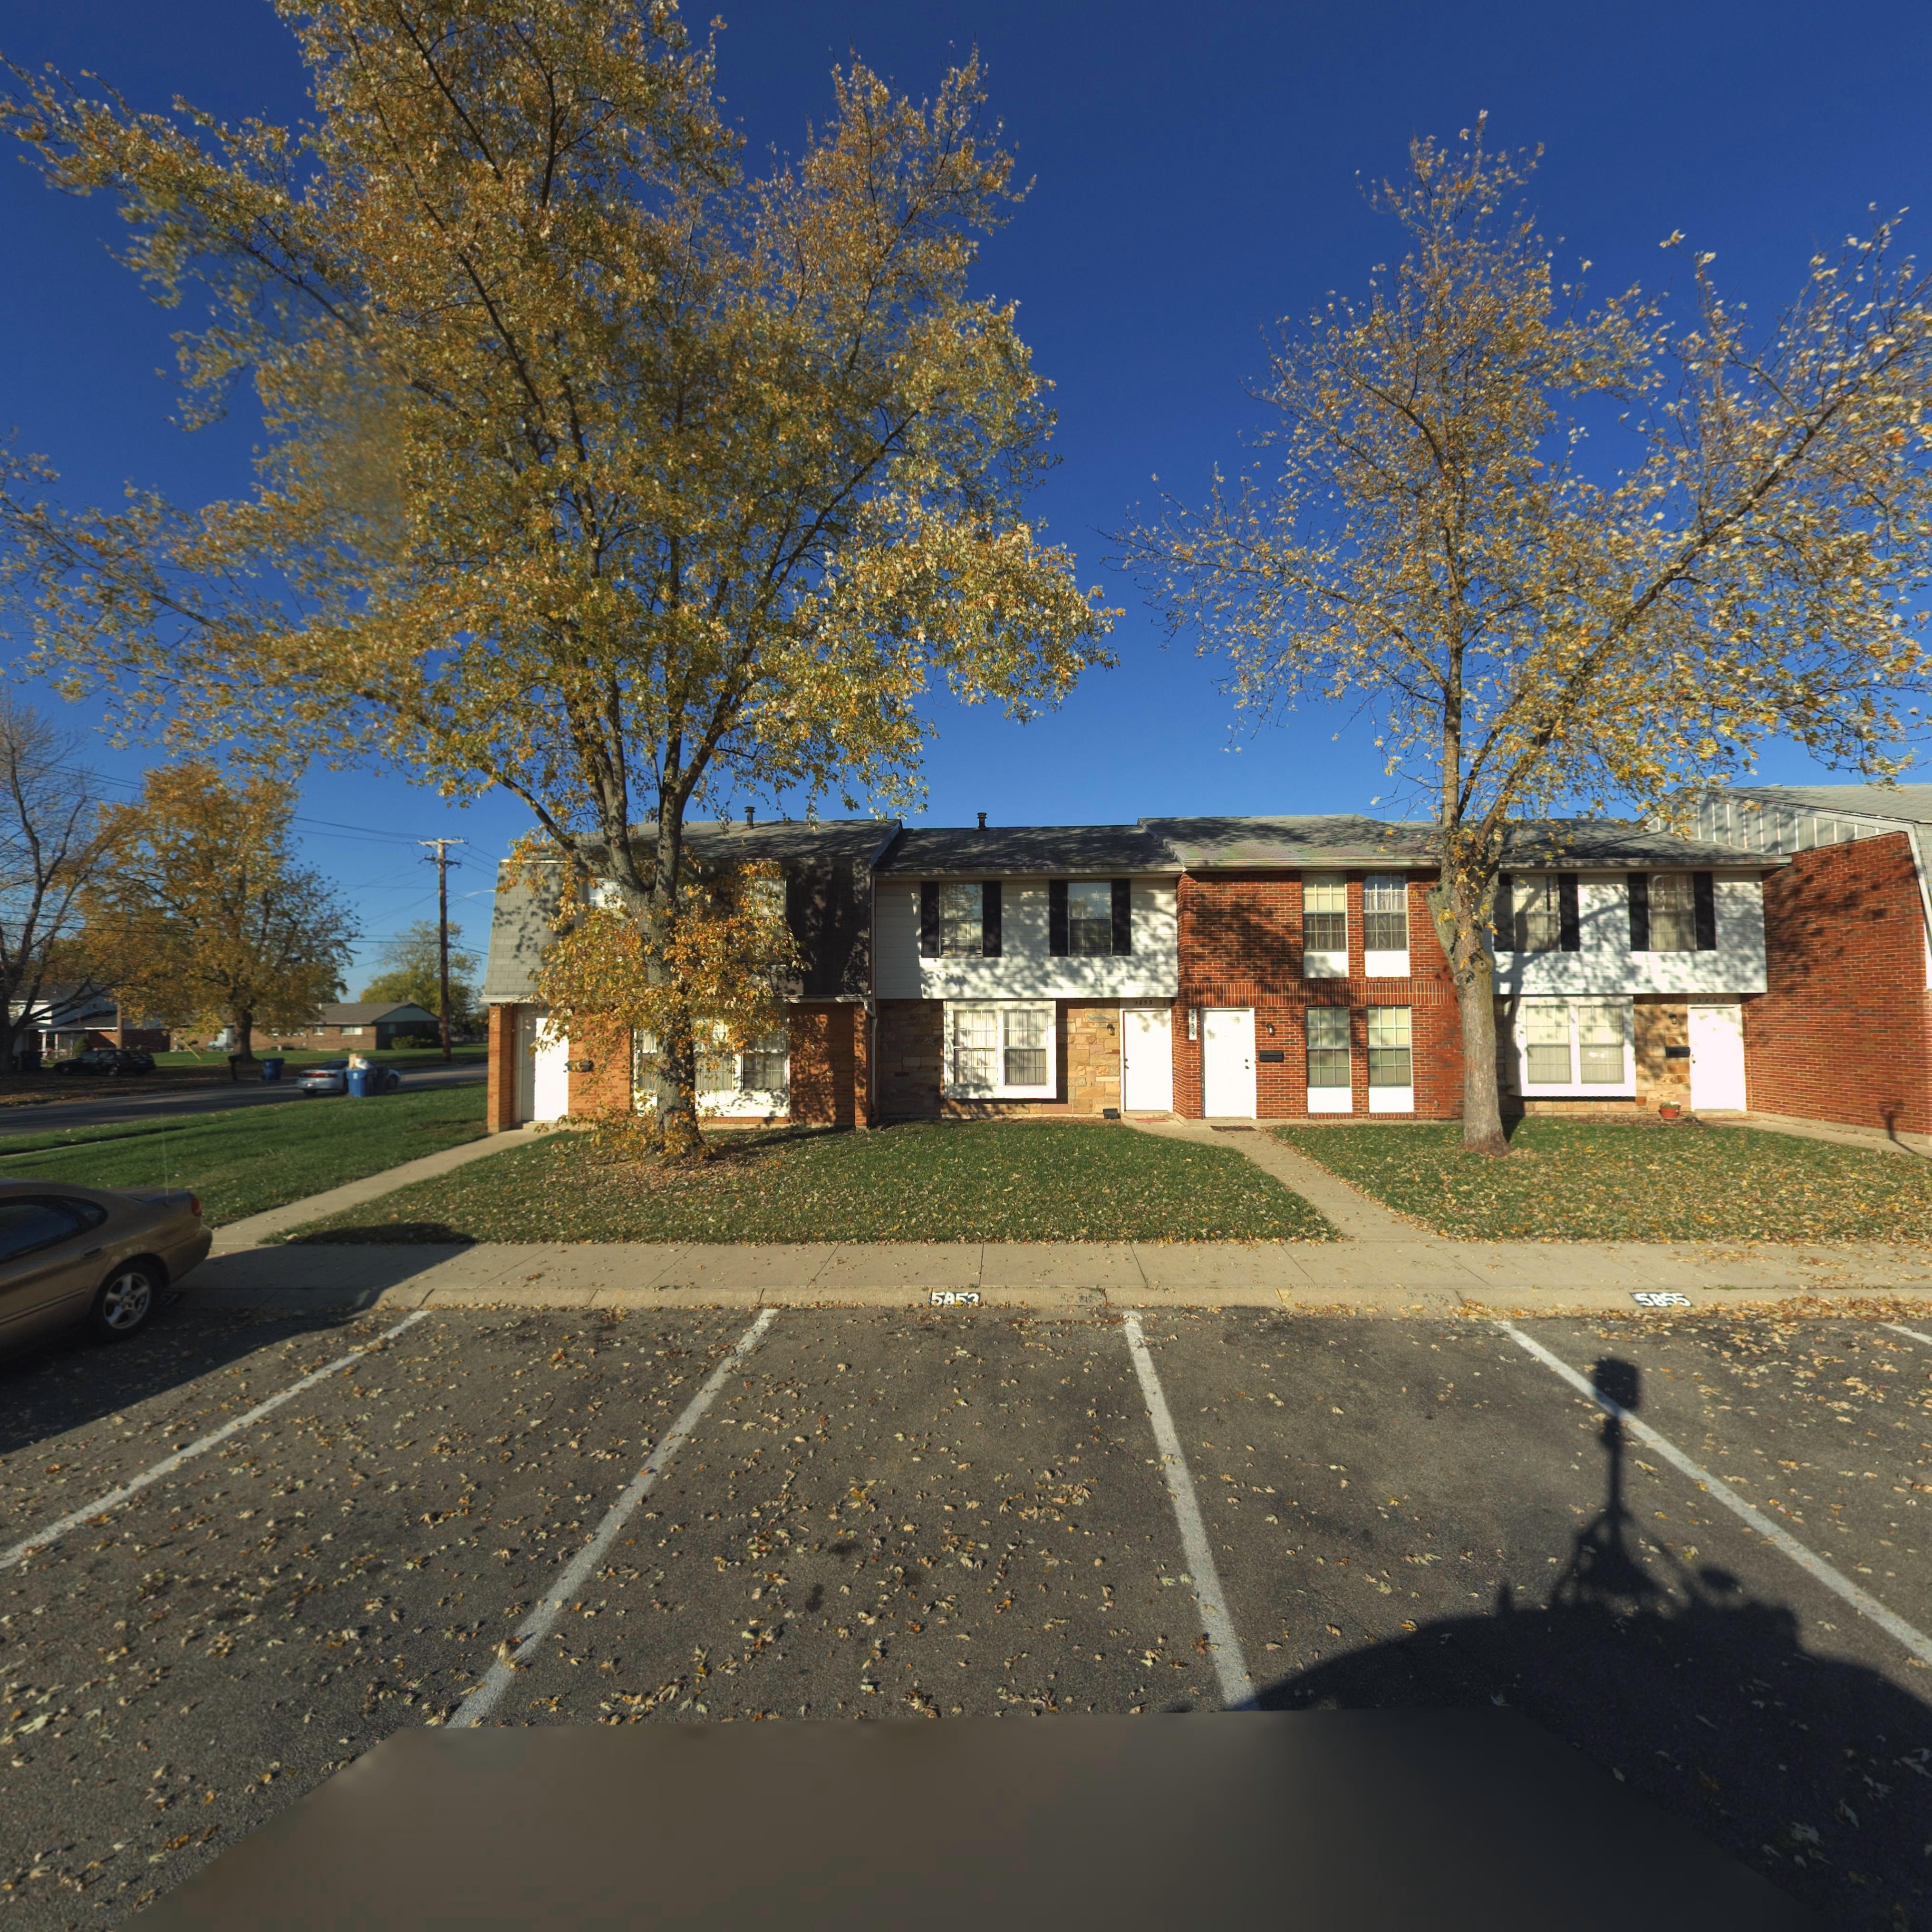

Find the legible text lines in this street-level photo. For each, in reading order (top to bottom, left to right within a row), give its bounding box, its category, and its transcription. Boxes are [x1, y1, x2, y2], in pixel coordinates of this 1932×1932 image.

[1133, 999, 1154, 1006] StreetNumber: 5853
[1694, 996, 1728, 1005] StreetNumber: 5*57
[1189, 1009, 1196, 1038] StreetNumber: 5*55
[929, 1290, 981, 1307] StreetNumber: 58**
[1633, 1291, 1693, 1308] StreetNumber: 58*5